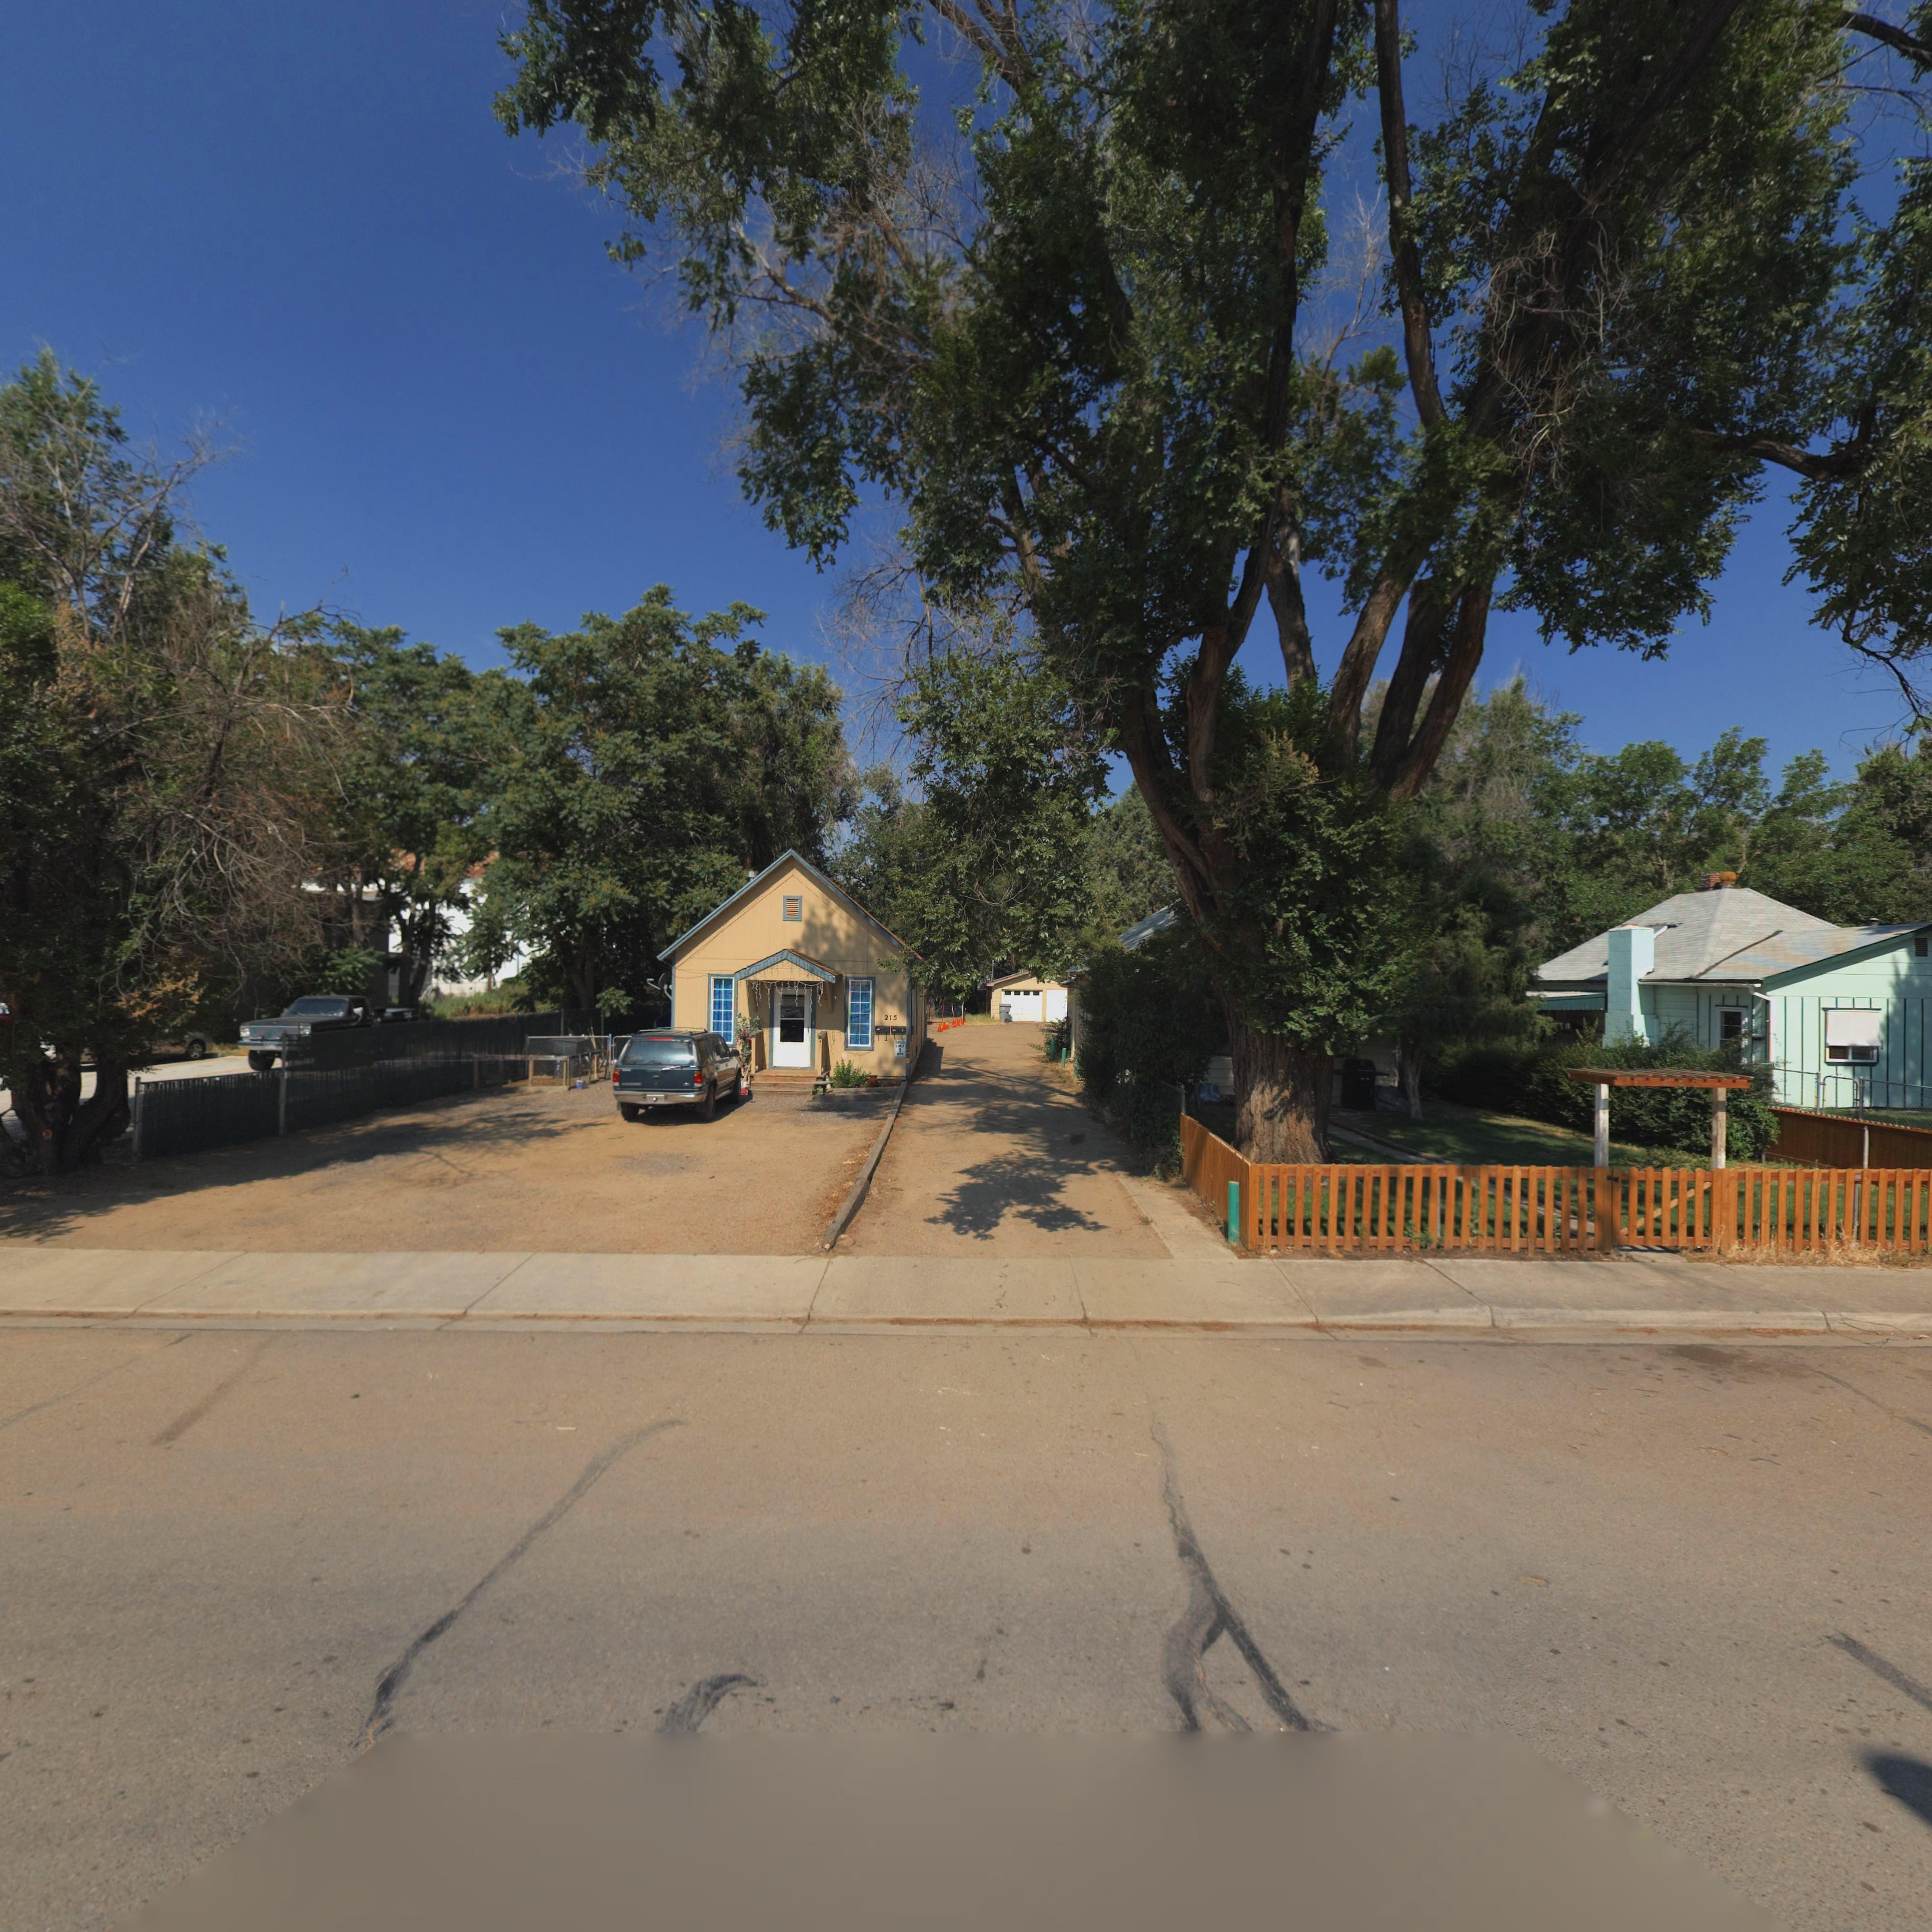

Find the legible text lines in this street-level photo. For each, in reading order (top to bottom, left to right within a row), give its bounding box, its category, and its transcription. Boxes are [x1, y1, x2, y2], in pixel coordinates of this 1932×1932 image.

[884, 1014, 897, 1021] StreetNumber: 215